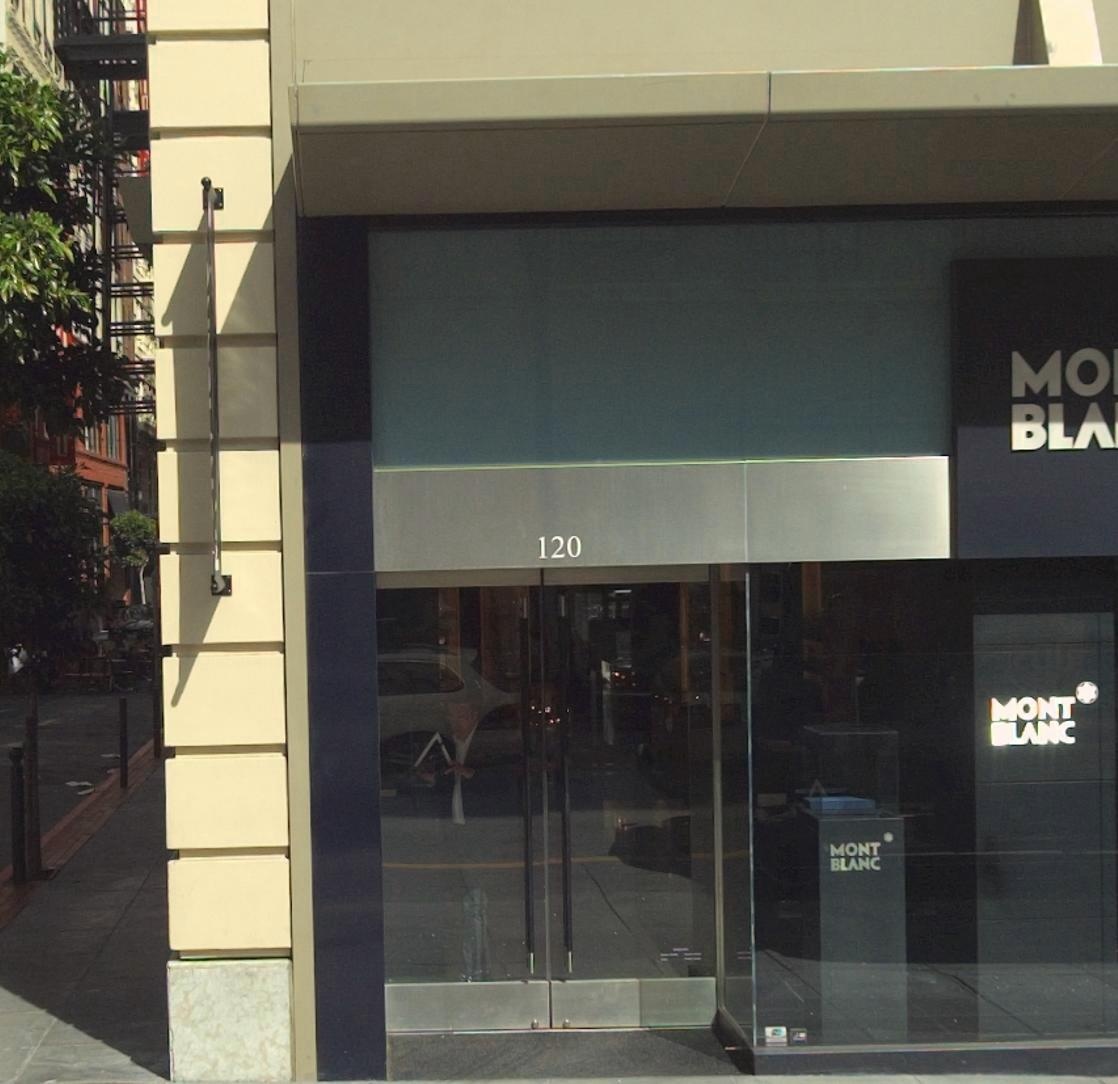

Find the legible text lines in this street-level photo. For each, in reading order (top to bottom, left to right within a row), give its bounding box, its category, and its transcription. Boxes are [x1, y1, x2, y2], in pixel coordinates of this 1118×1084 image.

[1009, 341, 1113, 399] BusinessName: MO
[1009, 401, 1117, 453] BusinessName: BLA
[536, 534, 583, 561] StreetNumber: 120
[989, 695, 1077, 722] BusinessName: MONT
[988, 719, 1077, 748] BusinessName: BLANC
[829, 842, 881, 857] BusinessName: MONT
[829, 856, 881, 872] BusinessName: BLANC